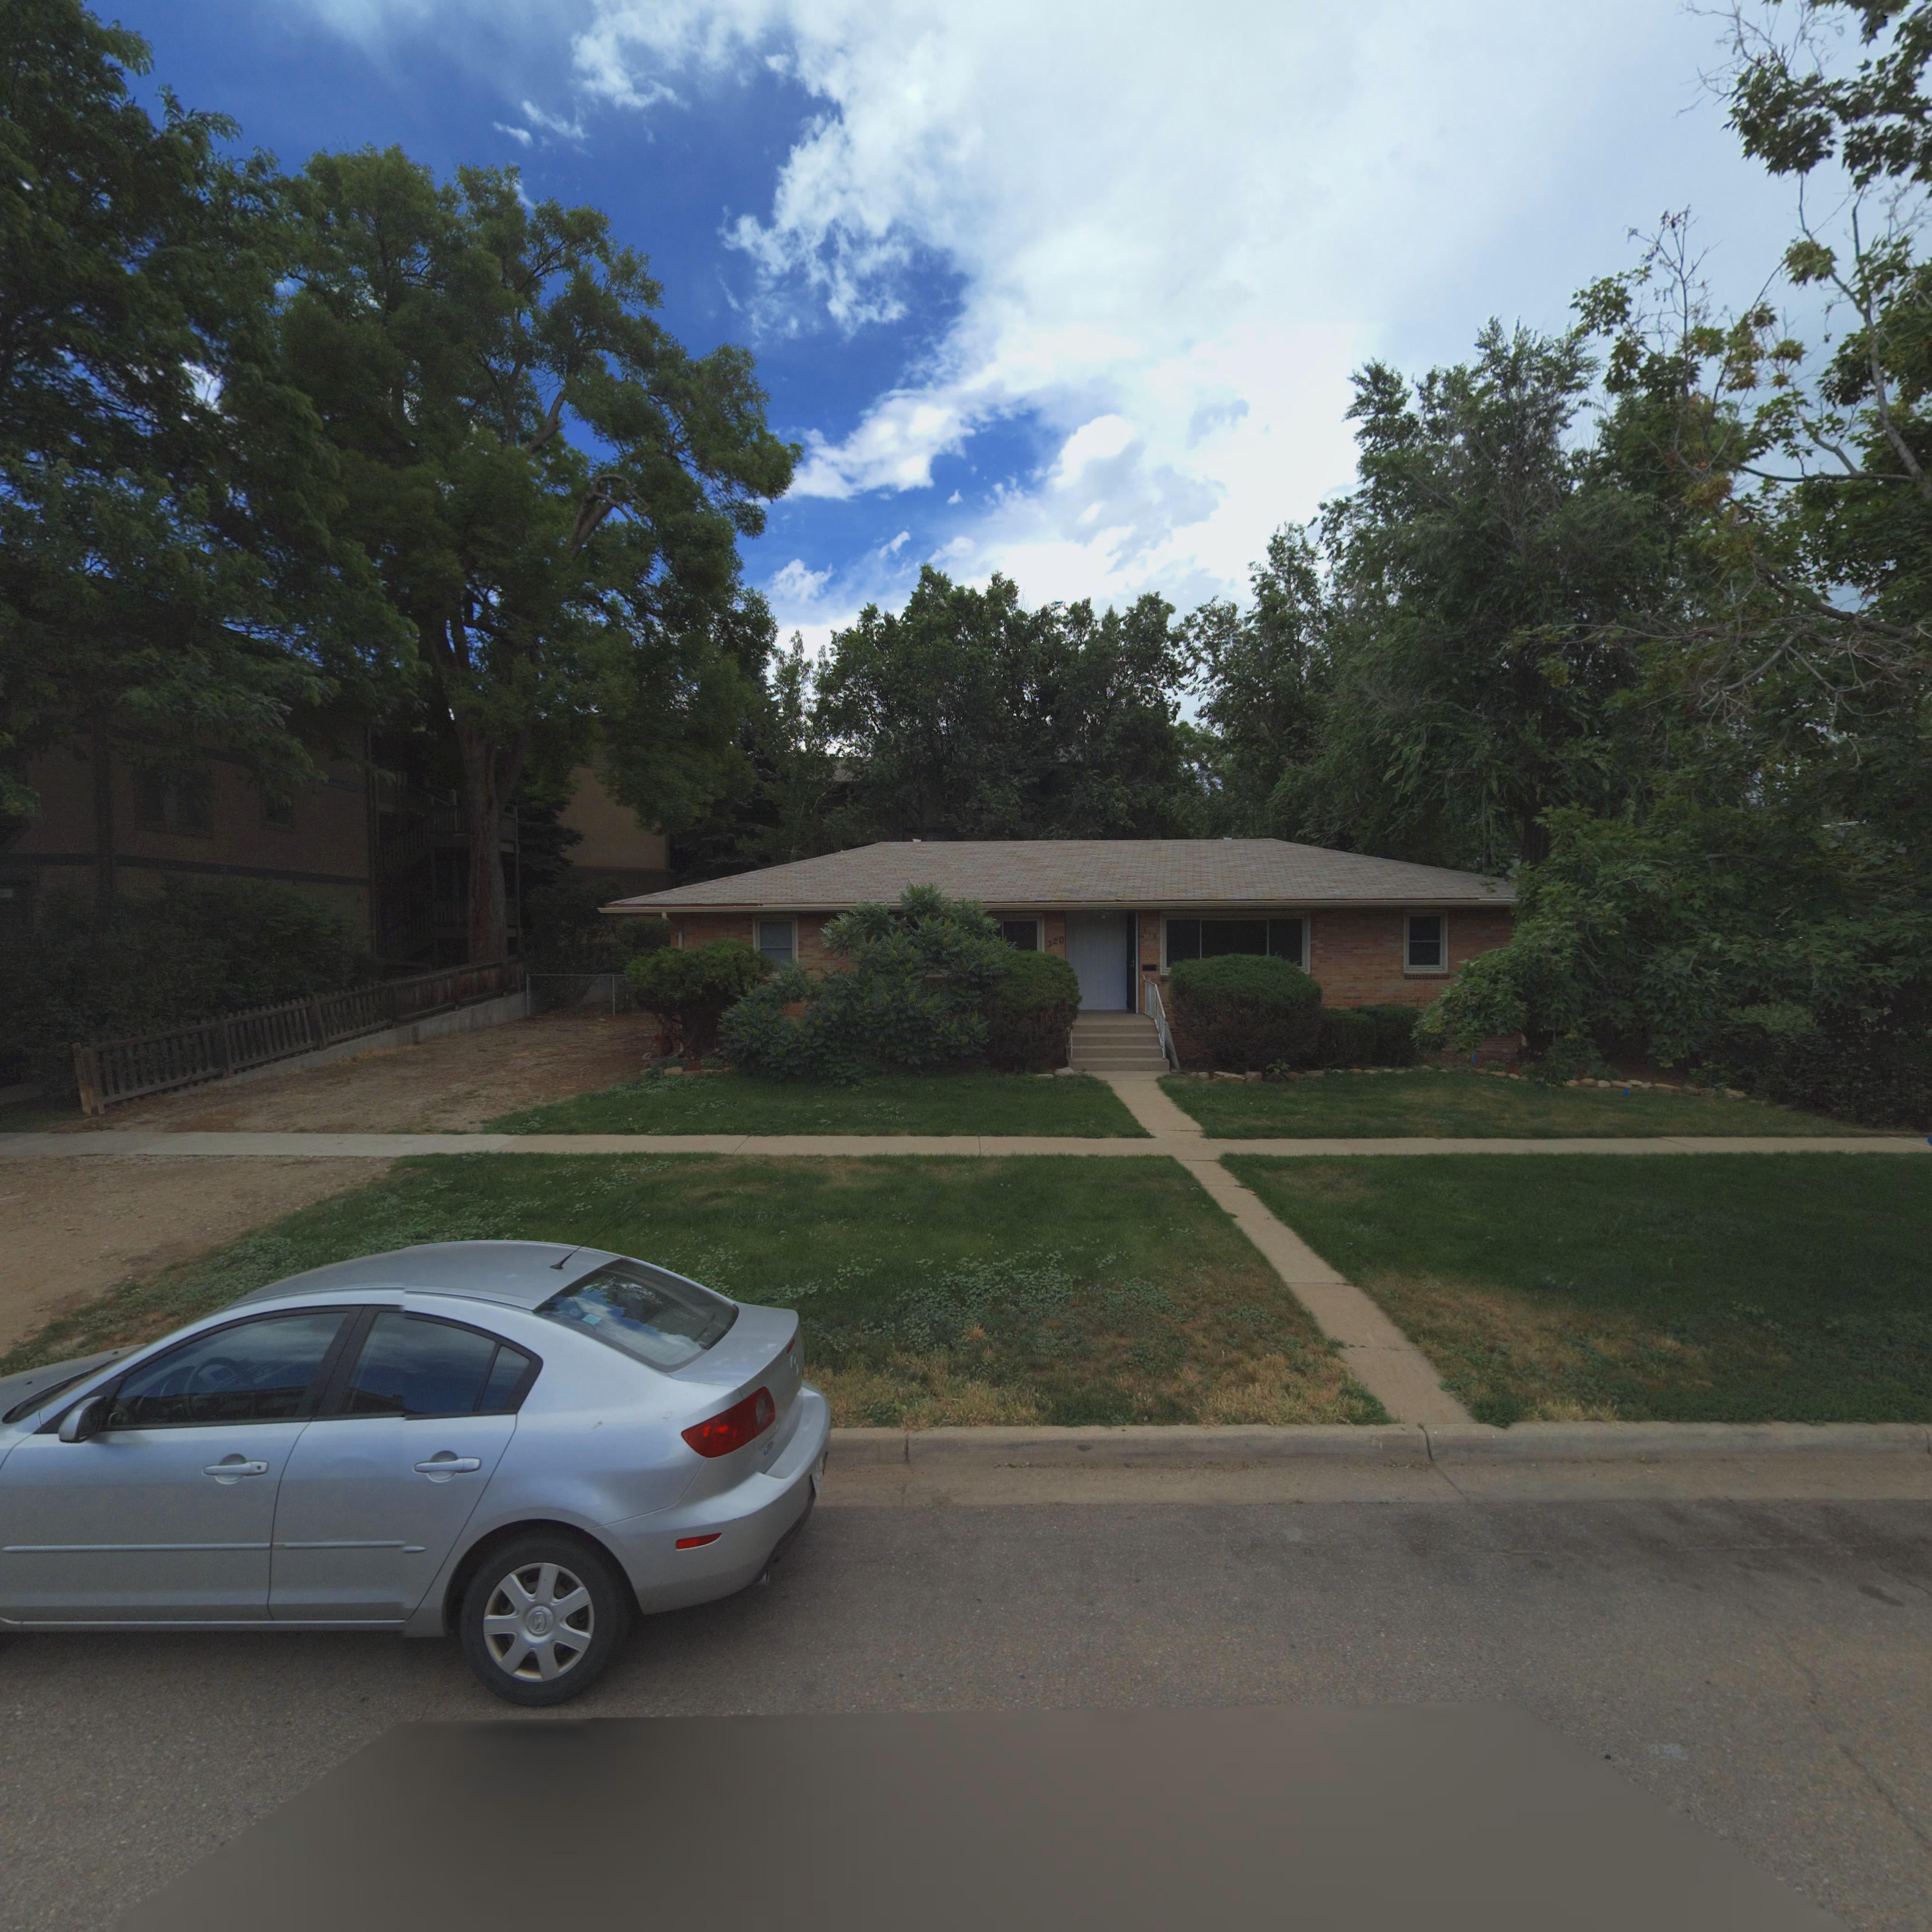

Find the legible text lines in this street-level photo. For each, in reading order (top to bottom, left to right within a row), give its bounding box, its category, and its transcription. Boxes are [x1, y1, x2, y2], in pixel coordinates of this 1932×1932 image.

[1142, 926, 1158, 940] StreetNumber: 318
[1046, 936, 1064, 948] StreetNumber: 320